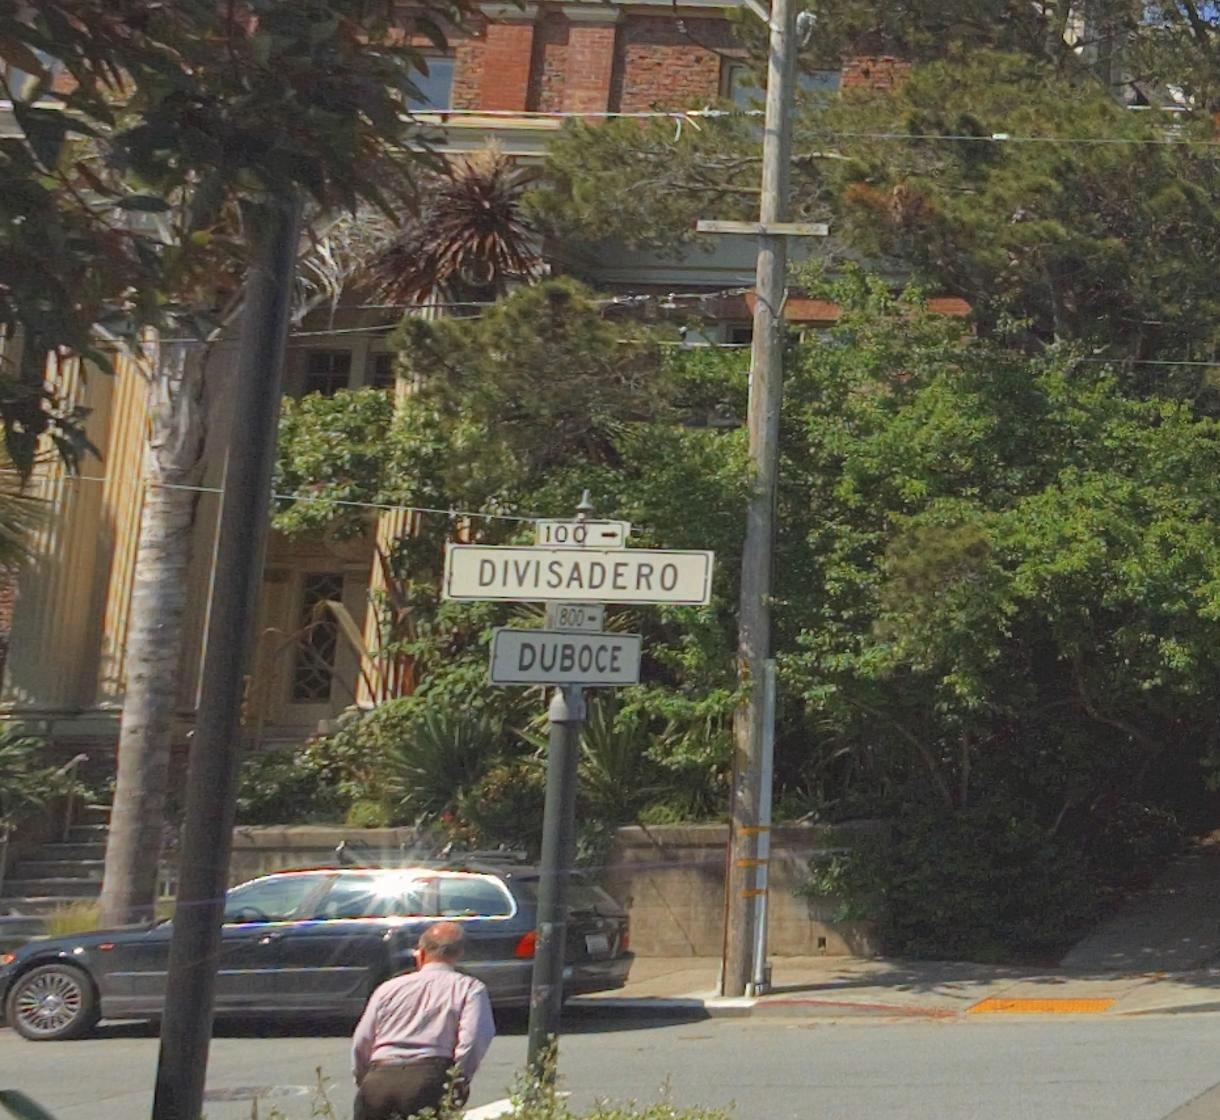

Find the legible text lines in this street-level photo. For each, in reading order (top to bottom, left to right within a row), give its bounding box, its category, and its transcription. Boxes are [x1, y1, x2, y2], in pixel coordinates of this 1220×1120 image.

[541, 518, 622, 549] StreetNumberRange: 100->
[474, 553, 680, 595] StreetName: DIVISADERO
[558, 603, 599, 629] StreetNumberRange: 800->
[516, 636, 621, 673] StreetName: DUBOCE